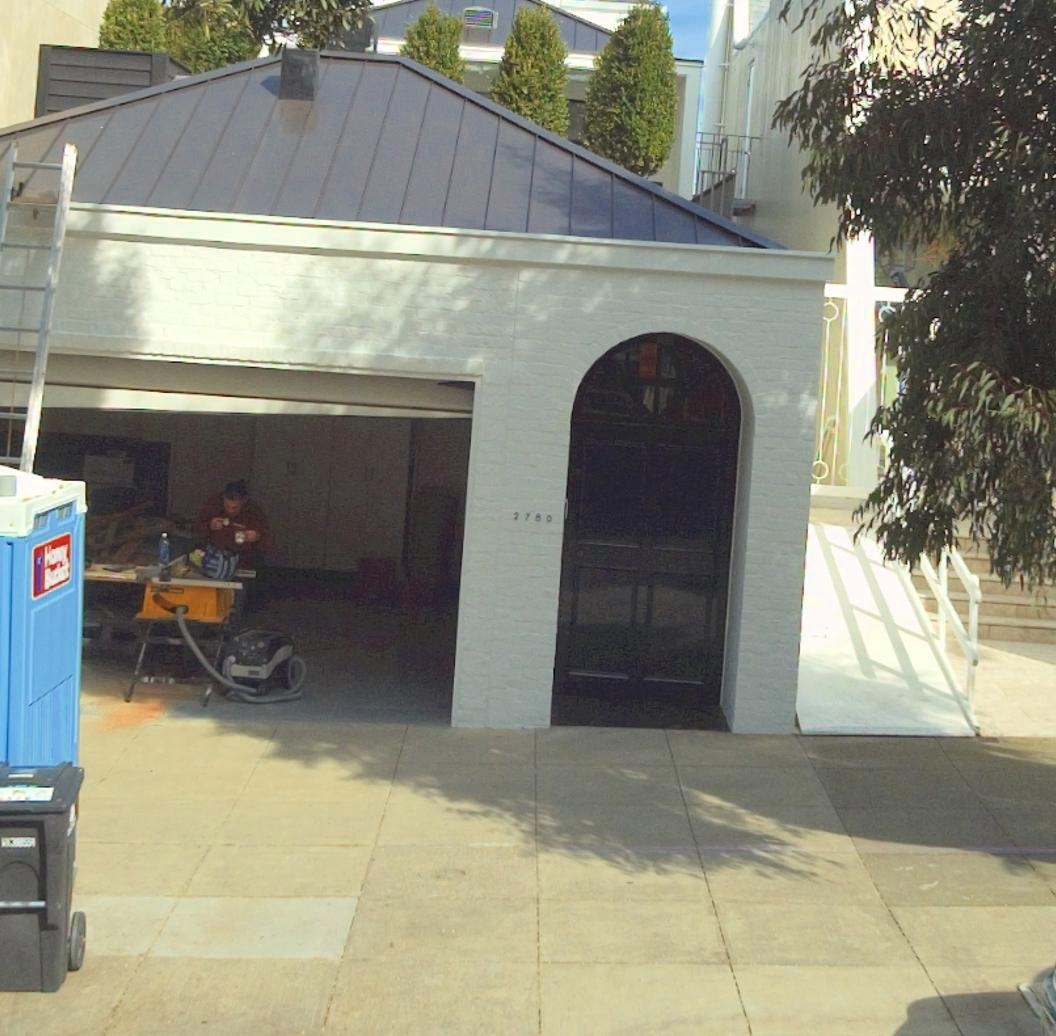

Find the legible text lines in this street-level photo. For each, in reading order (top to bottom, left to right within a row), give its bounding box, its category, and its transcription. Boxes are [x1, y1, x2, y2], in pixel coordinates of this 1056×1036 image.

[511, 509, 556, 525] StreetNumber: 2780
[41, 537, 69, 571] None: Honey
[42, 565, 54, 592] None: B